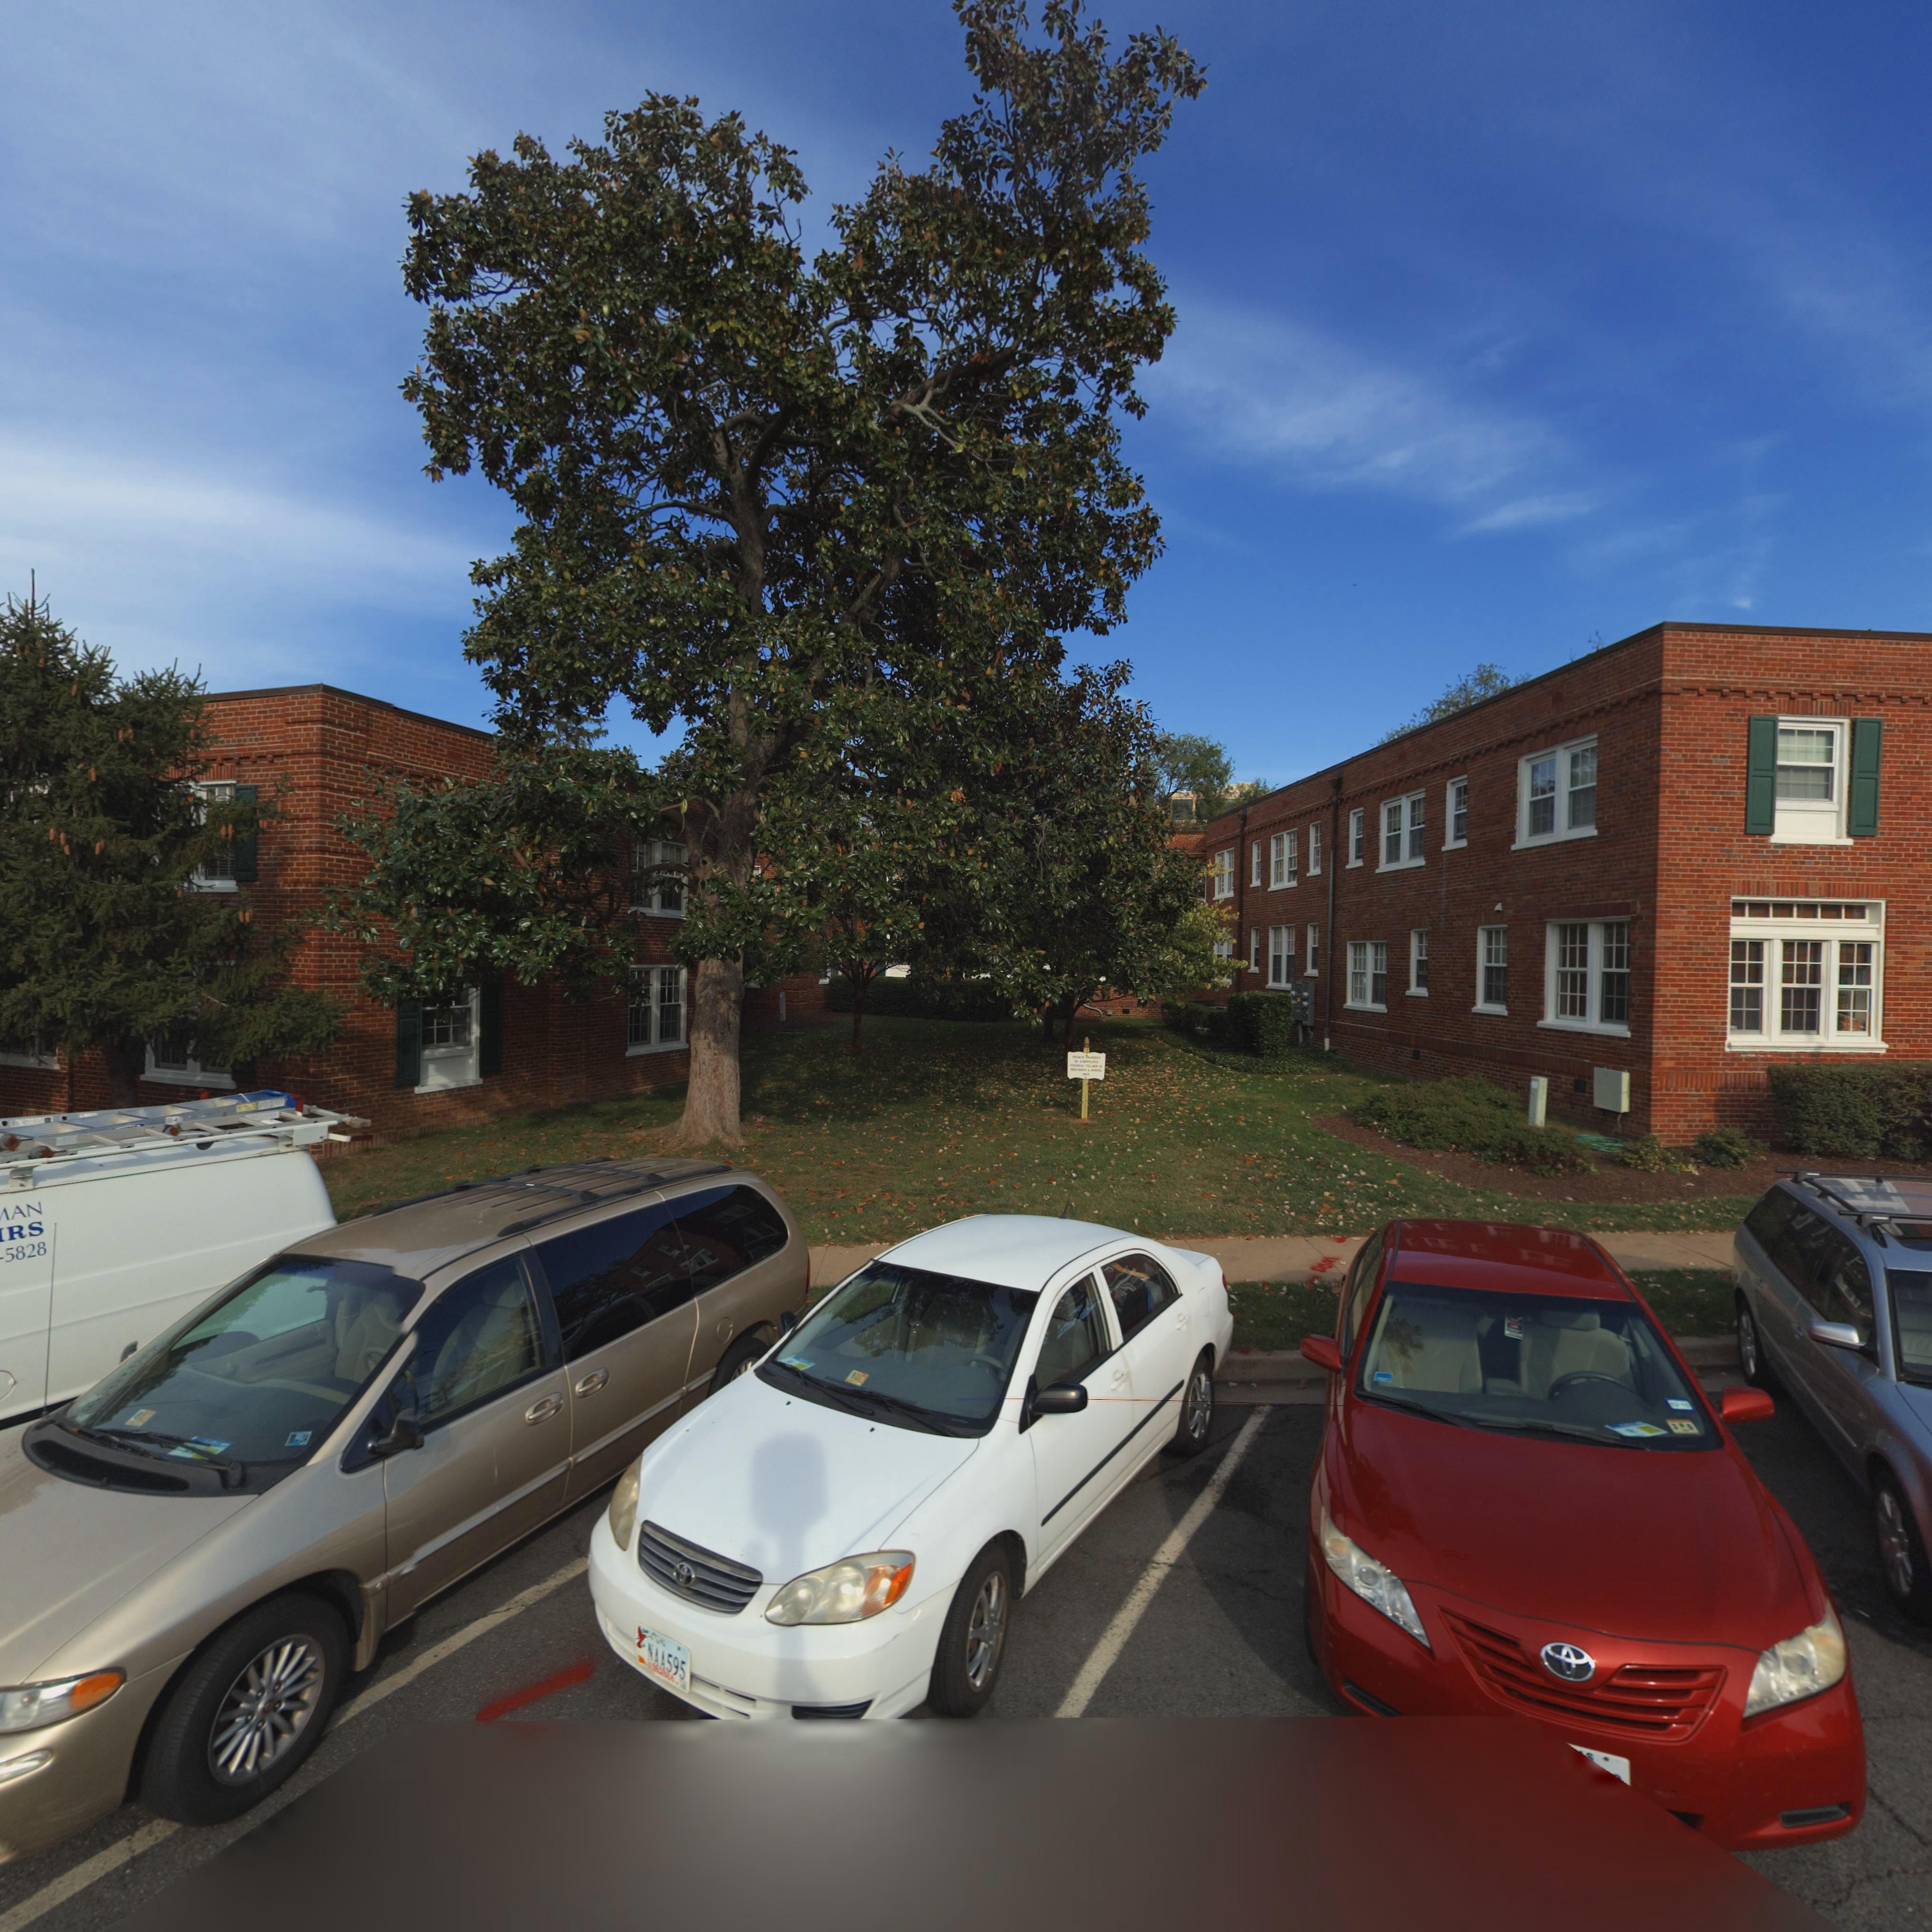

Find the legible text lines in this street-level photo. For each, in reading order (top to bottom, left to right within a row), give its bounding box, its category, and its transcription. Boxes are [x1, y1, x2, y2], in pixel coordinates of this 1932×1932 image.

[10, 1200, 43, 1221] None: AN
[5, 1220, 44, 1242] None: RS
[5, 1241, 47, 1263] None: 5828
[850, 1371, 857, 1379] None: 9
[299, 1433, 310, 1444] None: 14
[646, 1642, 687, 1682] None: NAA595